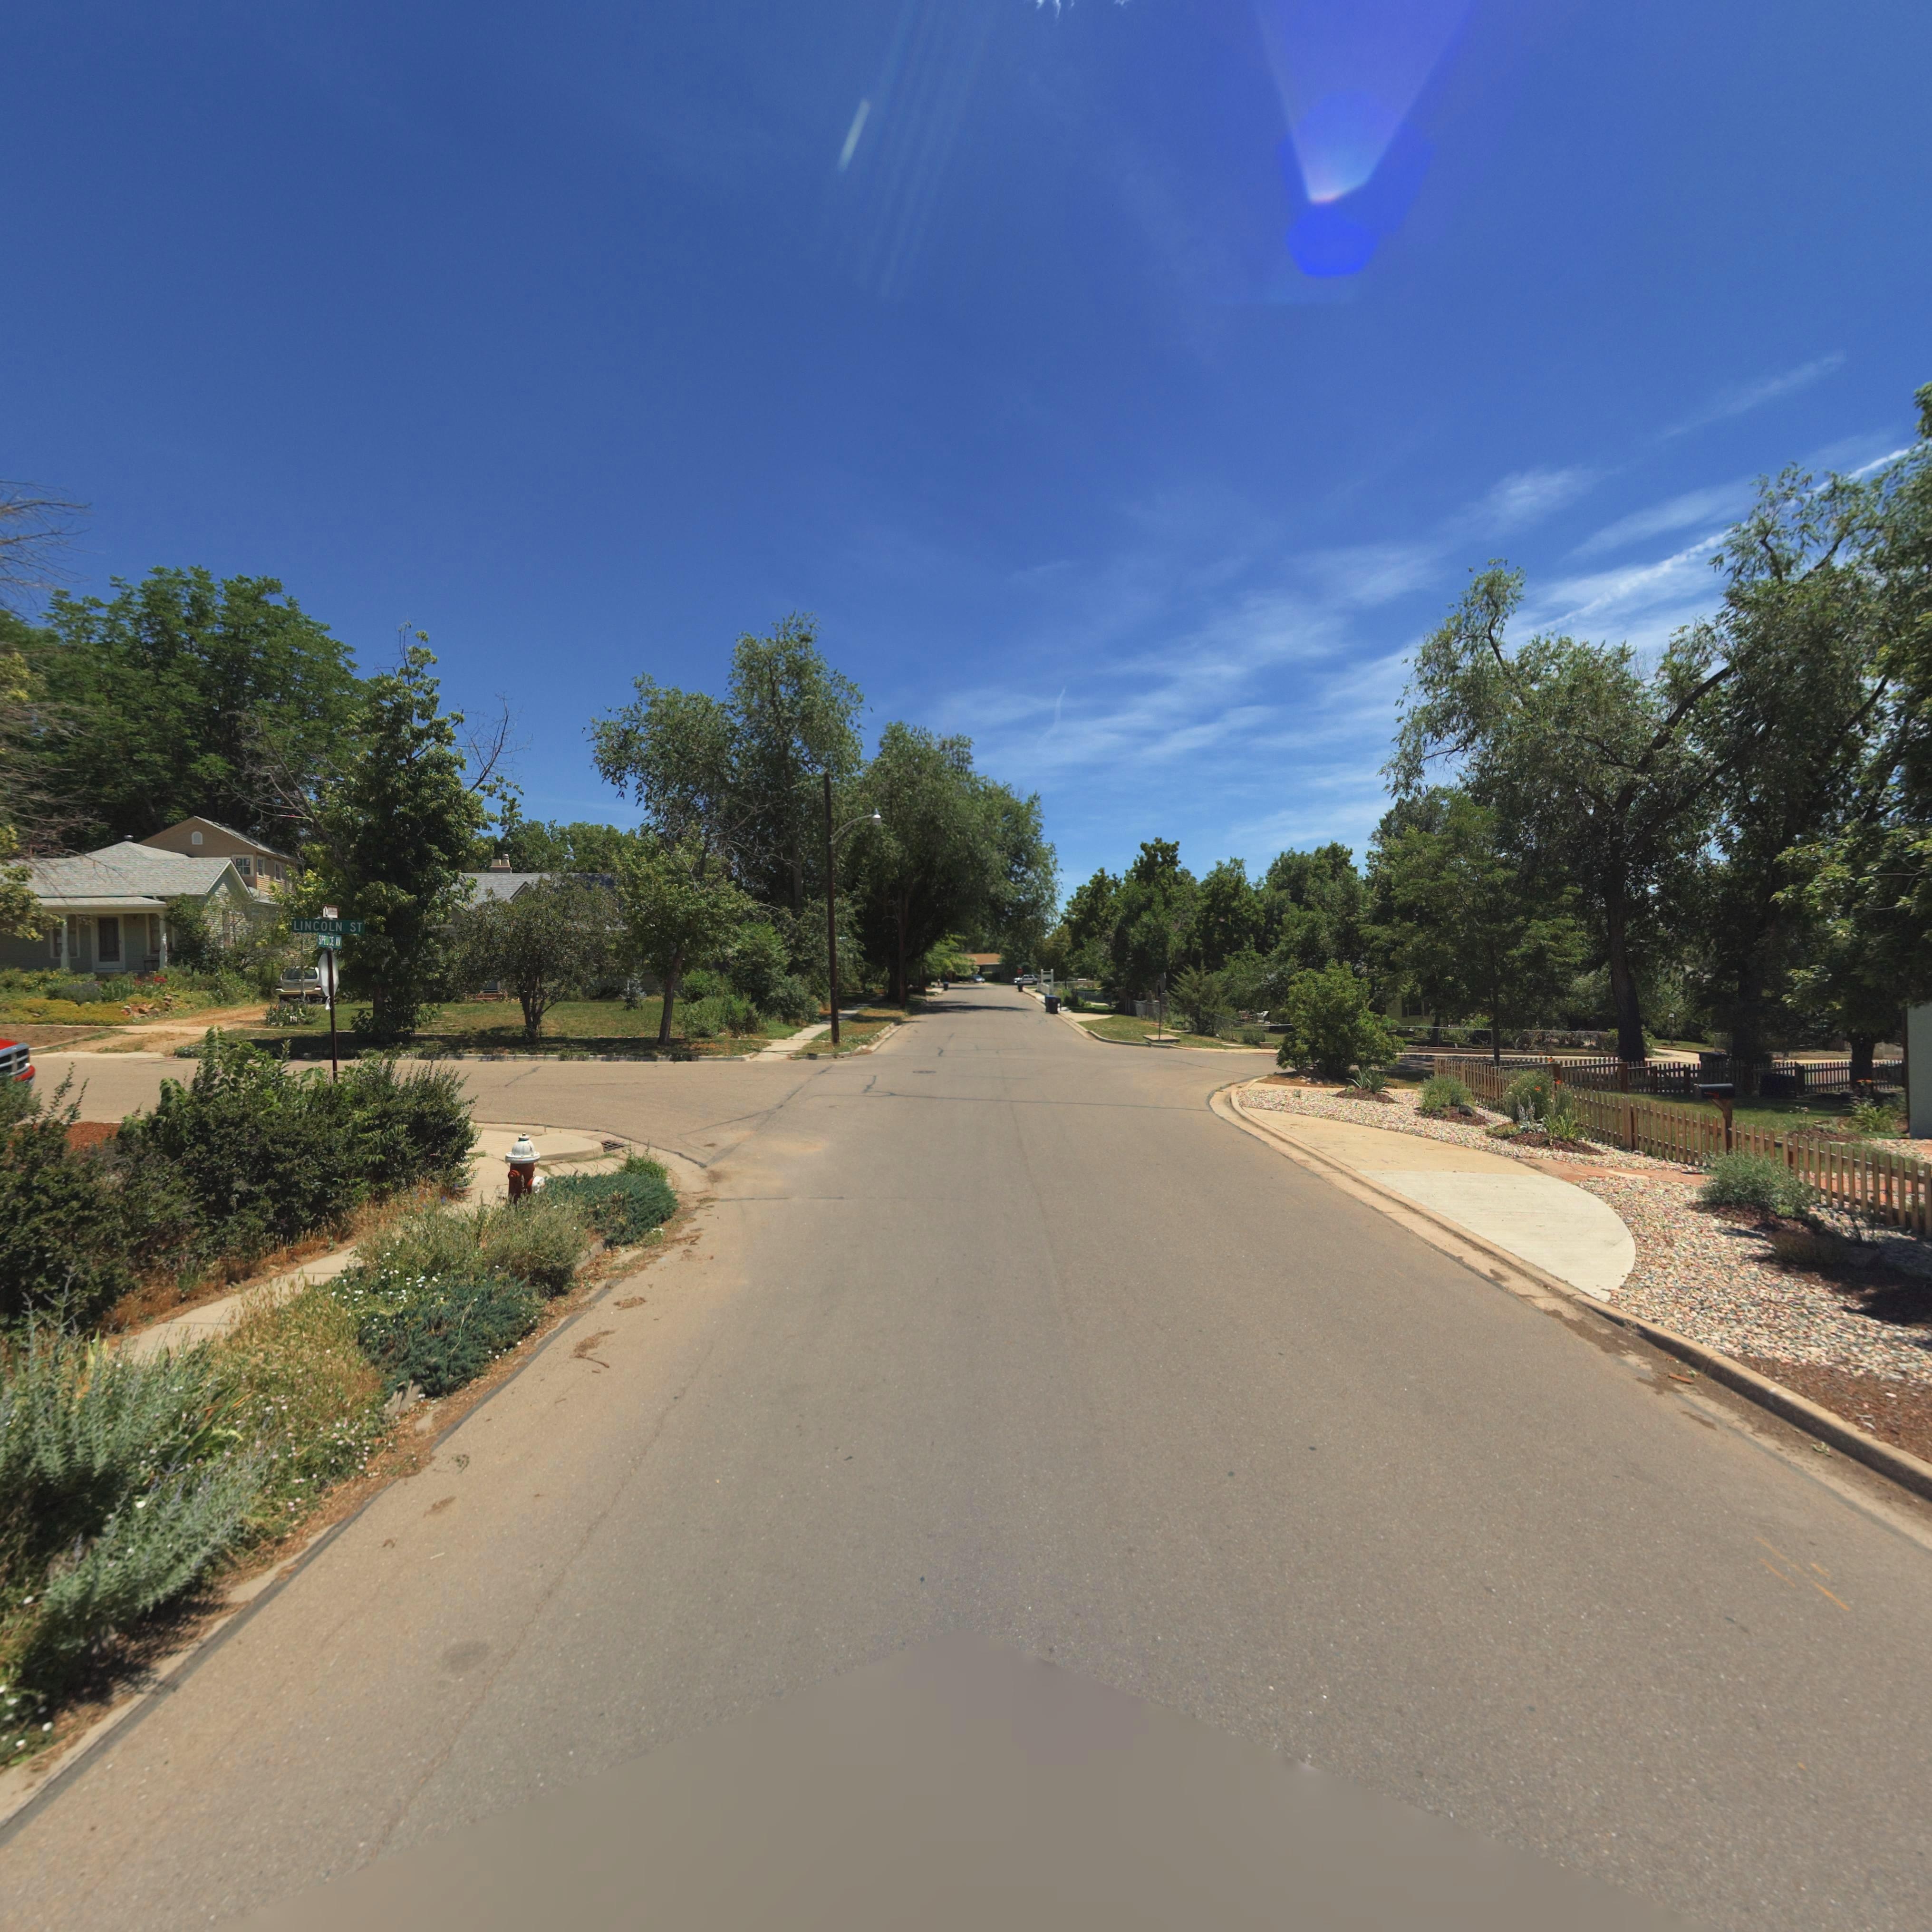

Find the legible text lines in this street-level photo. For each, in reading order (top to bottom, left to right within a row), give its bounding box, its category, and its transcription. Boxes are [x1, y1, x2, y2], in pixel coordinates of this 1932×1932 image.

[293, 920, 362, 932] StreetName: LINCOLN ST
[318, 934, 341, 947] StreetName: SP**CE AV